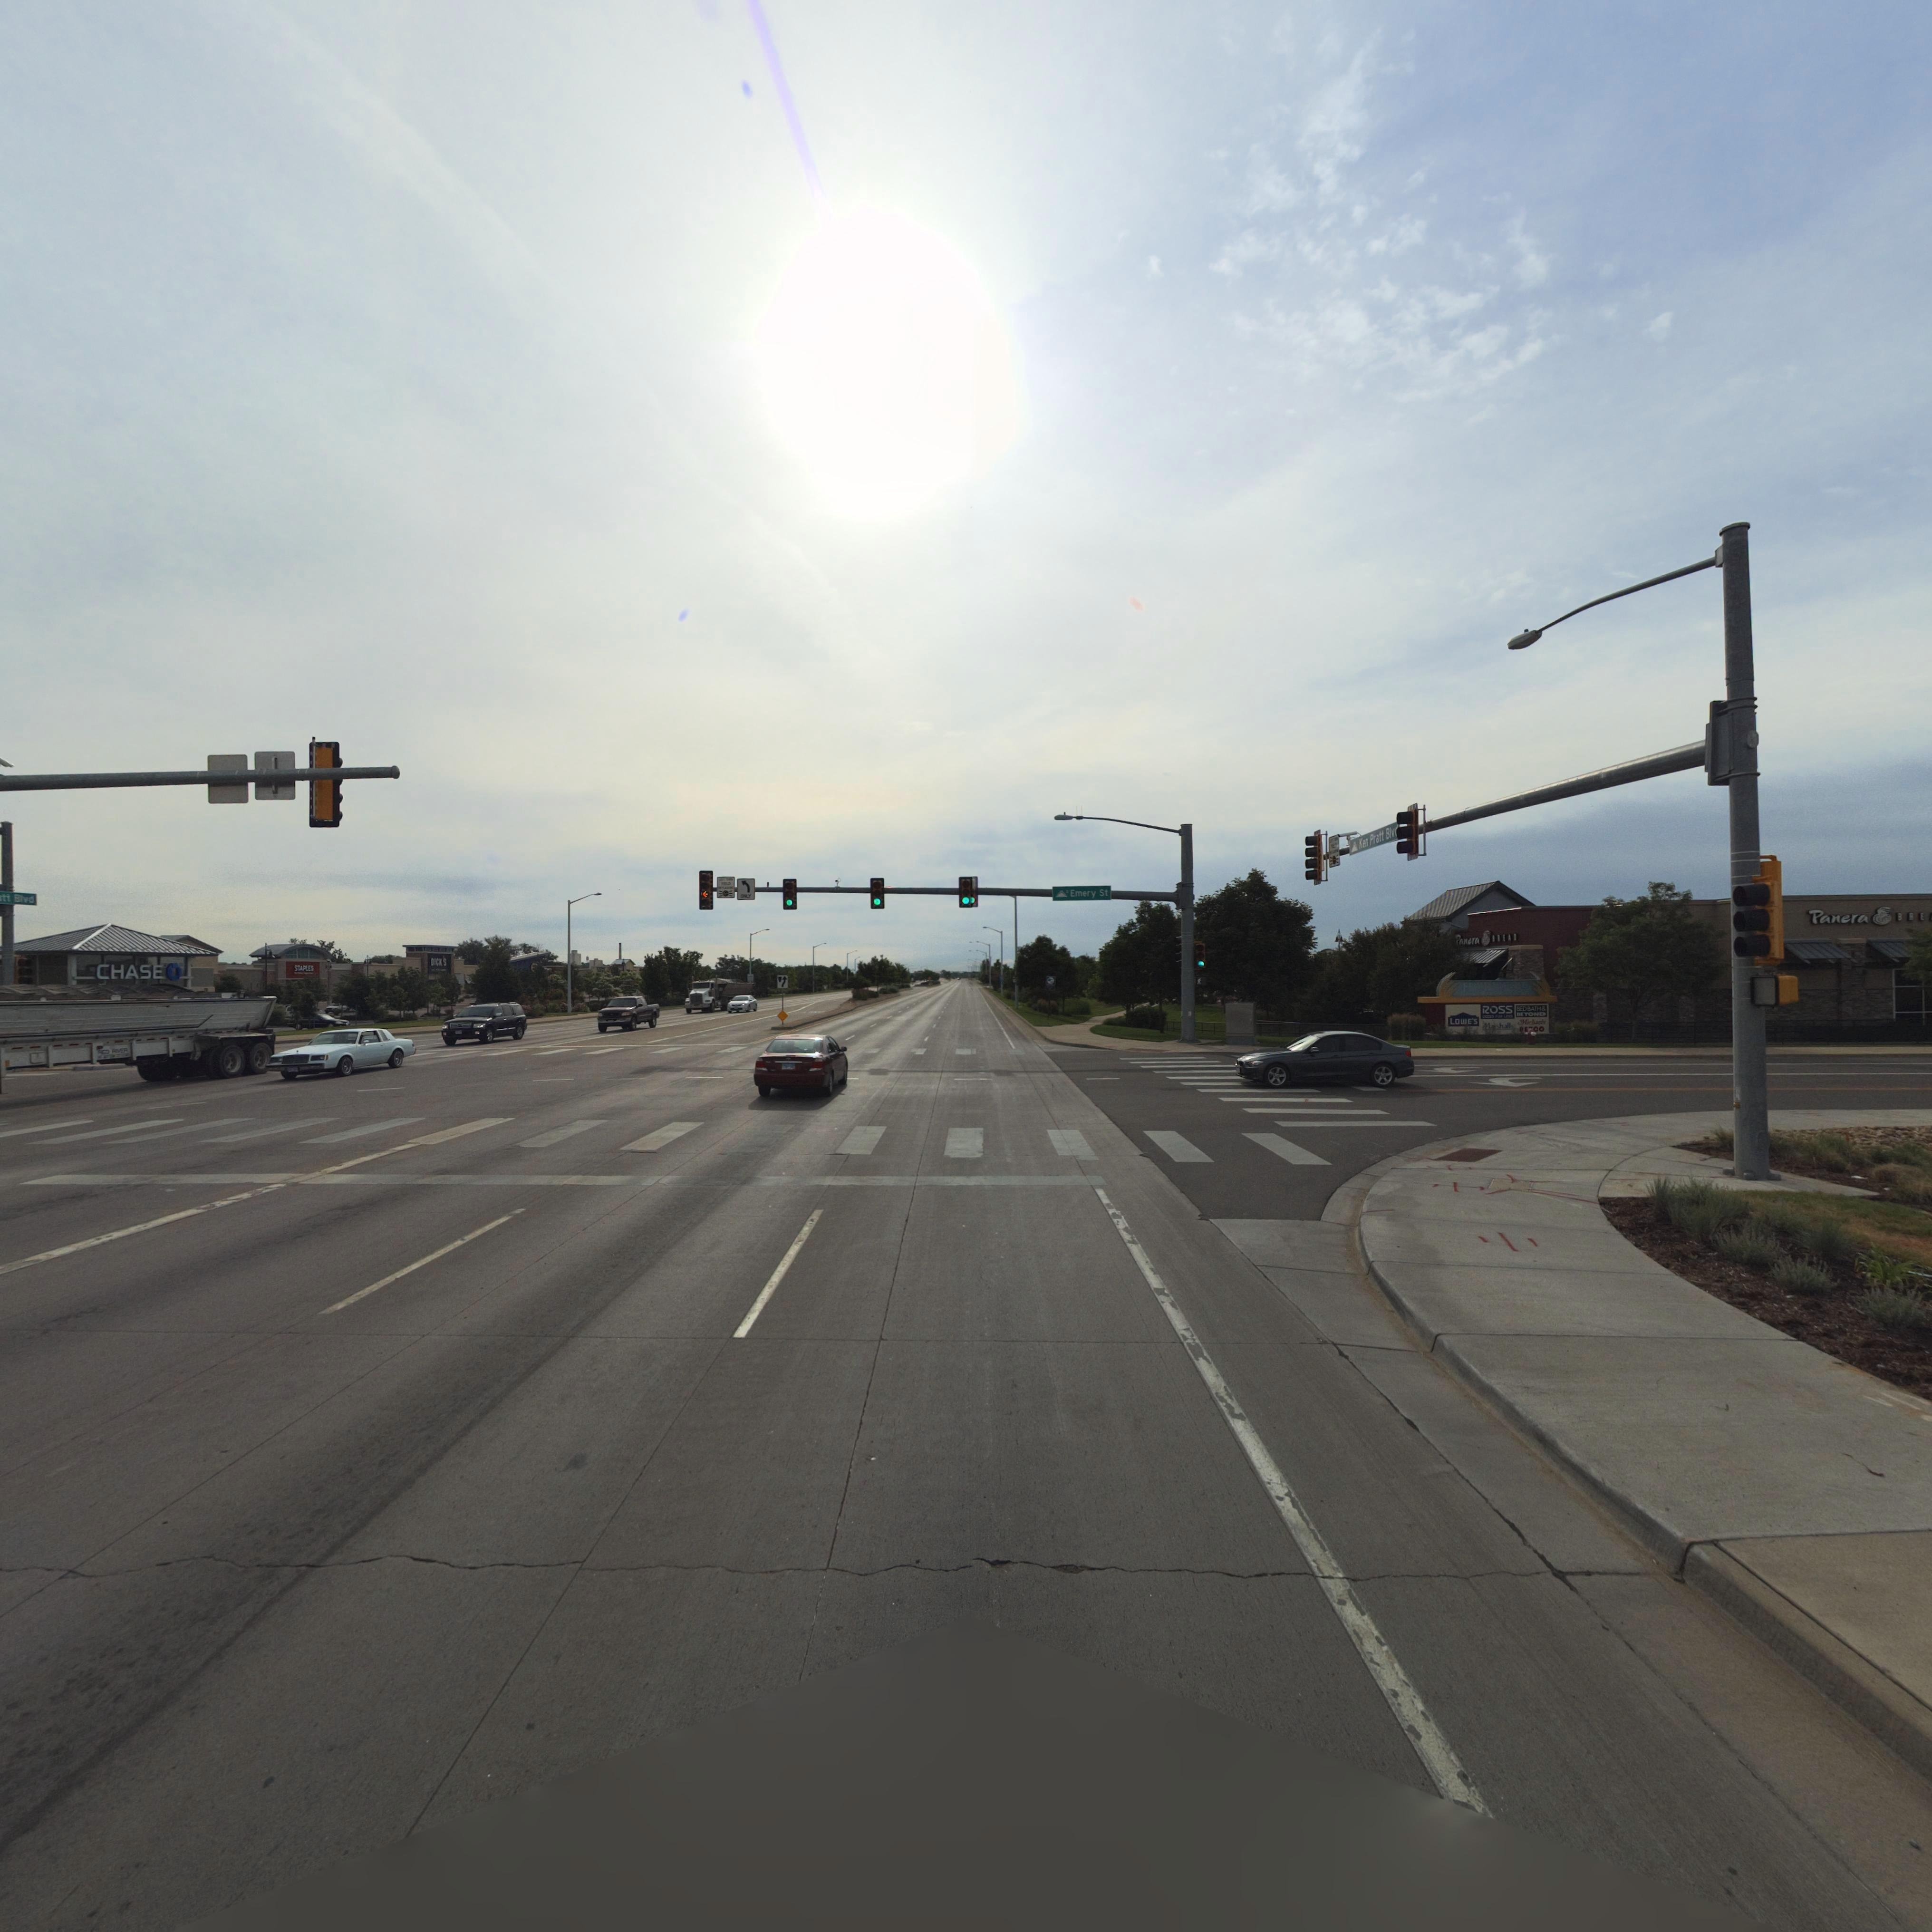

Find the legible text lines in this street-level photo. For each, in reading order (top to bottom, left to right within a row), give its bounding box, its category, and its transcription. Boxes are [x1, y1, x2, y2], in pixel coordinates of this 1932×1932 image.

[1358, 822, 1399, 850] StreetName: Ken Pratt Blvd
[1, 893, 34, 903] StreetName: tt Blvd
[1065, 889, 1108, 898] StreetName: S Emery St
[1807, 908, 1869, 925] BusinessName: Panera
[1896, 911, 1924, 921] BusinessName: BRE
[1452, 934, 1480, 947] BusinessName: Panera
[1492, 933, 1517, 942] BusinessName: BREAD
[430, 955, 446, 966] BusinessName: DICK'S
[97, 963, 164, 979] BusinessName: CHASE
[294, 965, 314, 971] BusinessName: STAPLES
[1482, 1005, 1512, 1014] BusinessName: ROSS
[1517, 1005, 1546, 1012] BusinessName: BED BATH &
[1517, 1012, 1546, 1016] BusinessName: BEYOND
[1449, 1017, 1478, 1024] BusinessName: Lowe's
[1481, 1022, 1514, 1030] BusinessName: M**shall*
[1517, 1018, 1546, 1025] BusinessName: Mi**ael's
[1519, 1026, 1545, 1032] BusinessName: PETCO